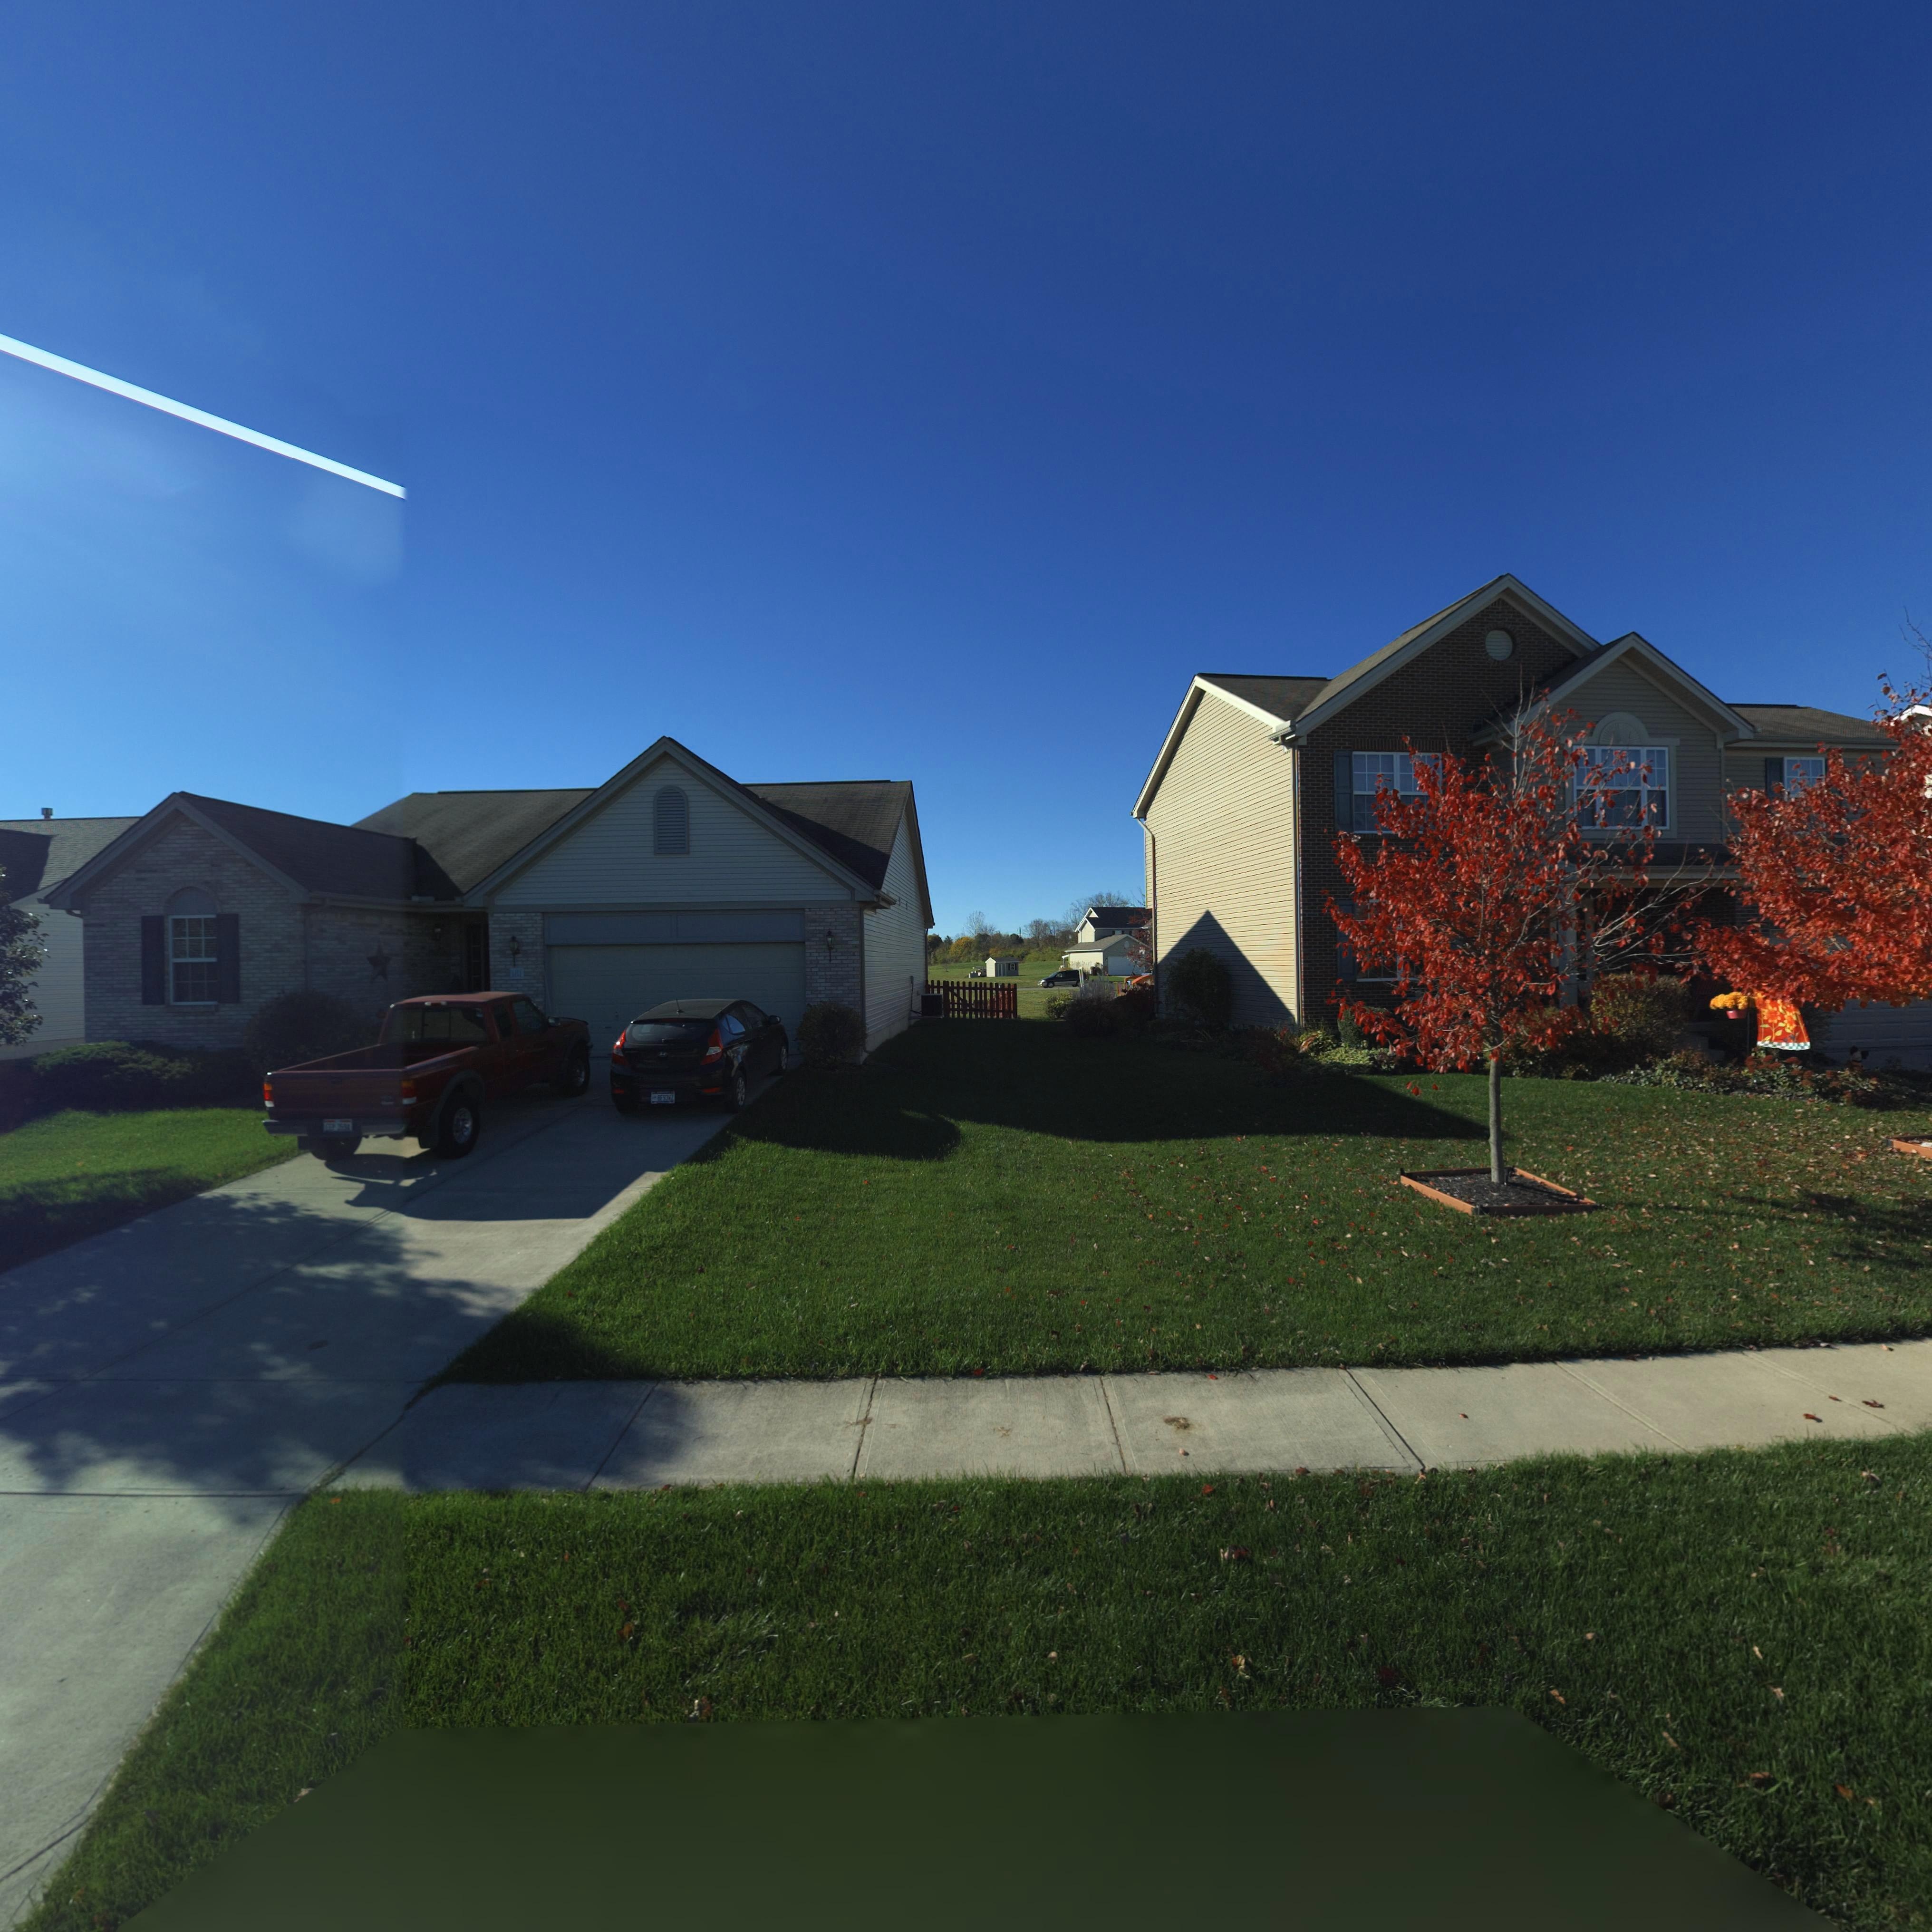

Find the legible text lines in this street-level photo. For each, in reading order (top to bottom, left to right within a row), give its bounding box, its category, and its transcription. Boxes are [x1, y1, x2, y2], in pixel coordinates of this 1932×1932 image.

[511, 969, 522, 977] StreetNumber: 181